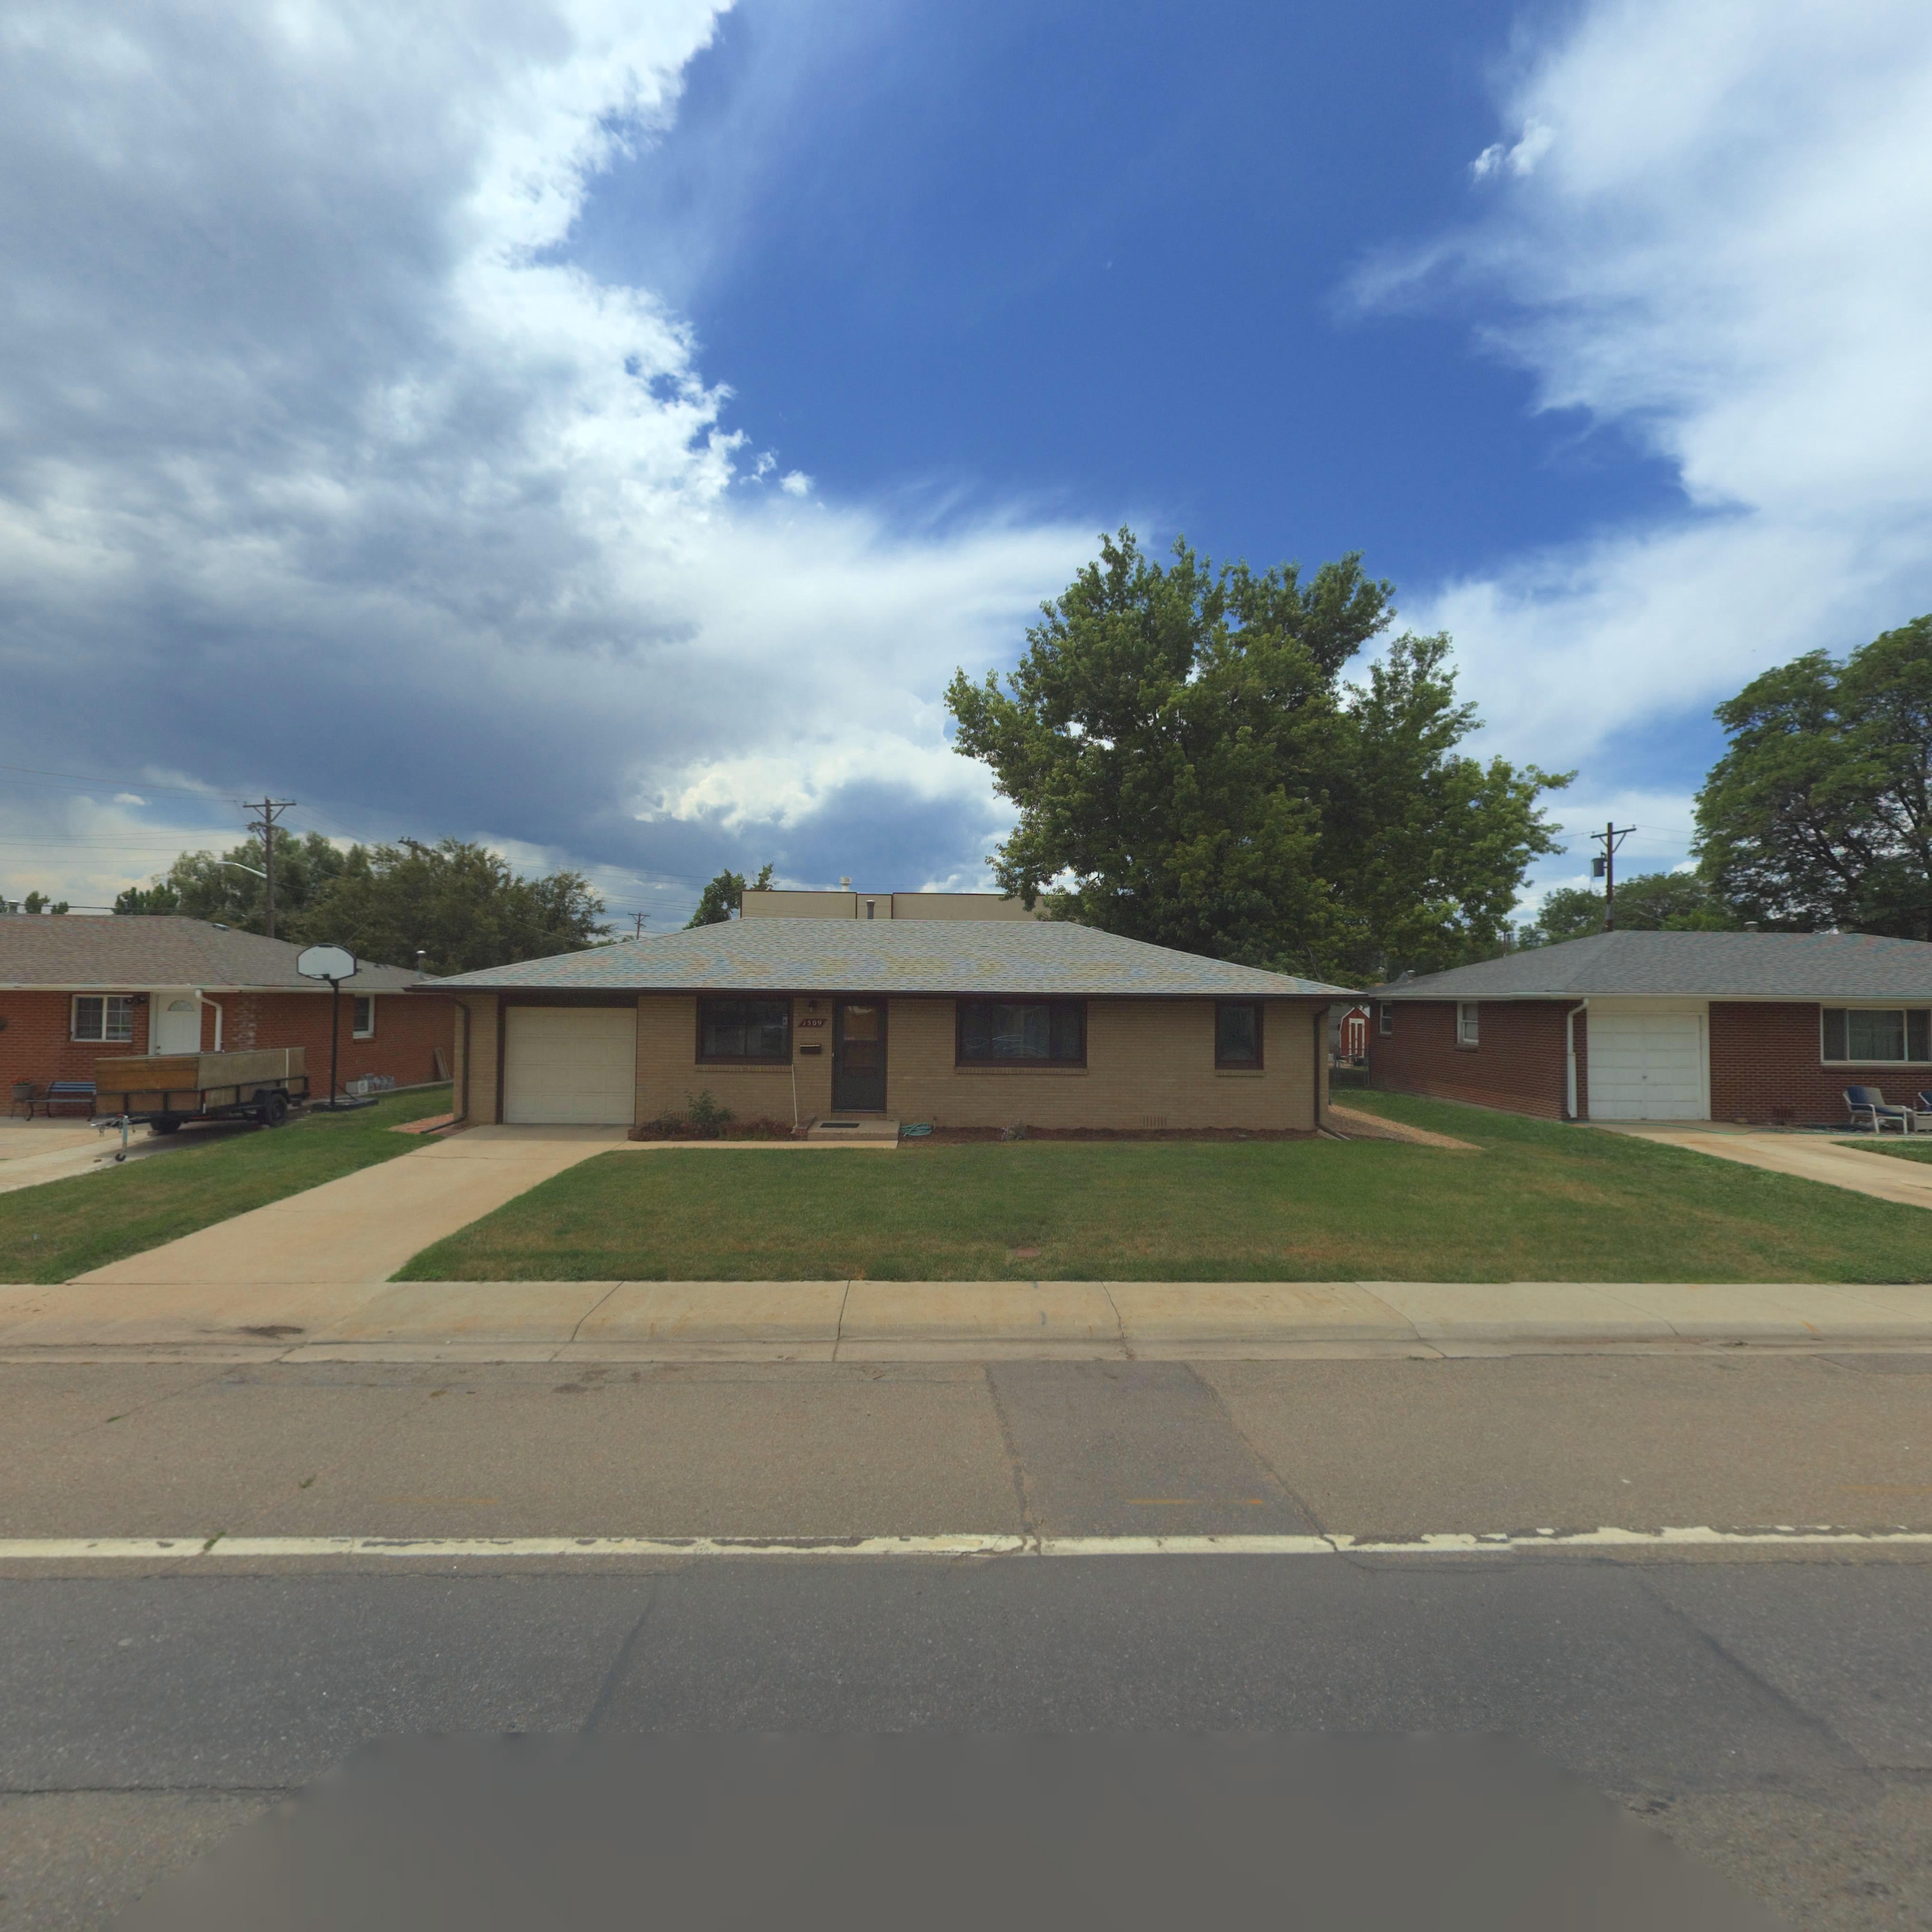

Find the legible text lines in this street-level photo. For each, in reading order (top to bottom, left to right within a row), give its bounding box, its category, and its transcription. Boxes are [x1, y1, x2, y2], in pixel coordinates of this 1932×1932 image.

[802, 1020, 822, 1026] StreetNumber: 1509